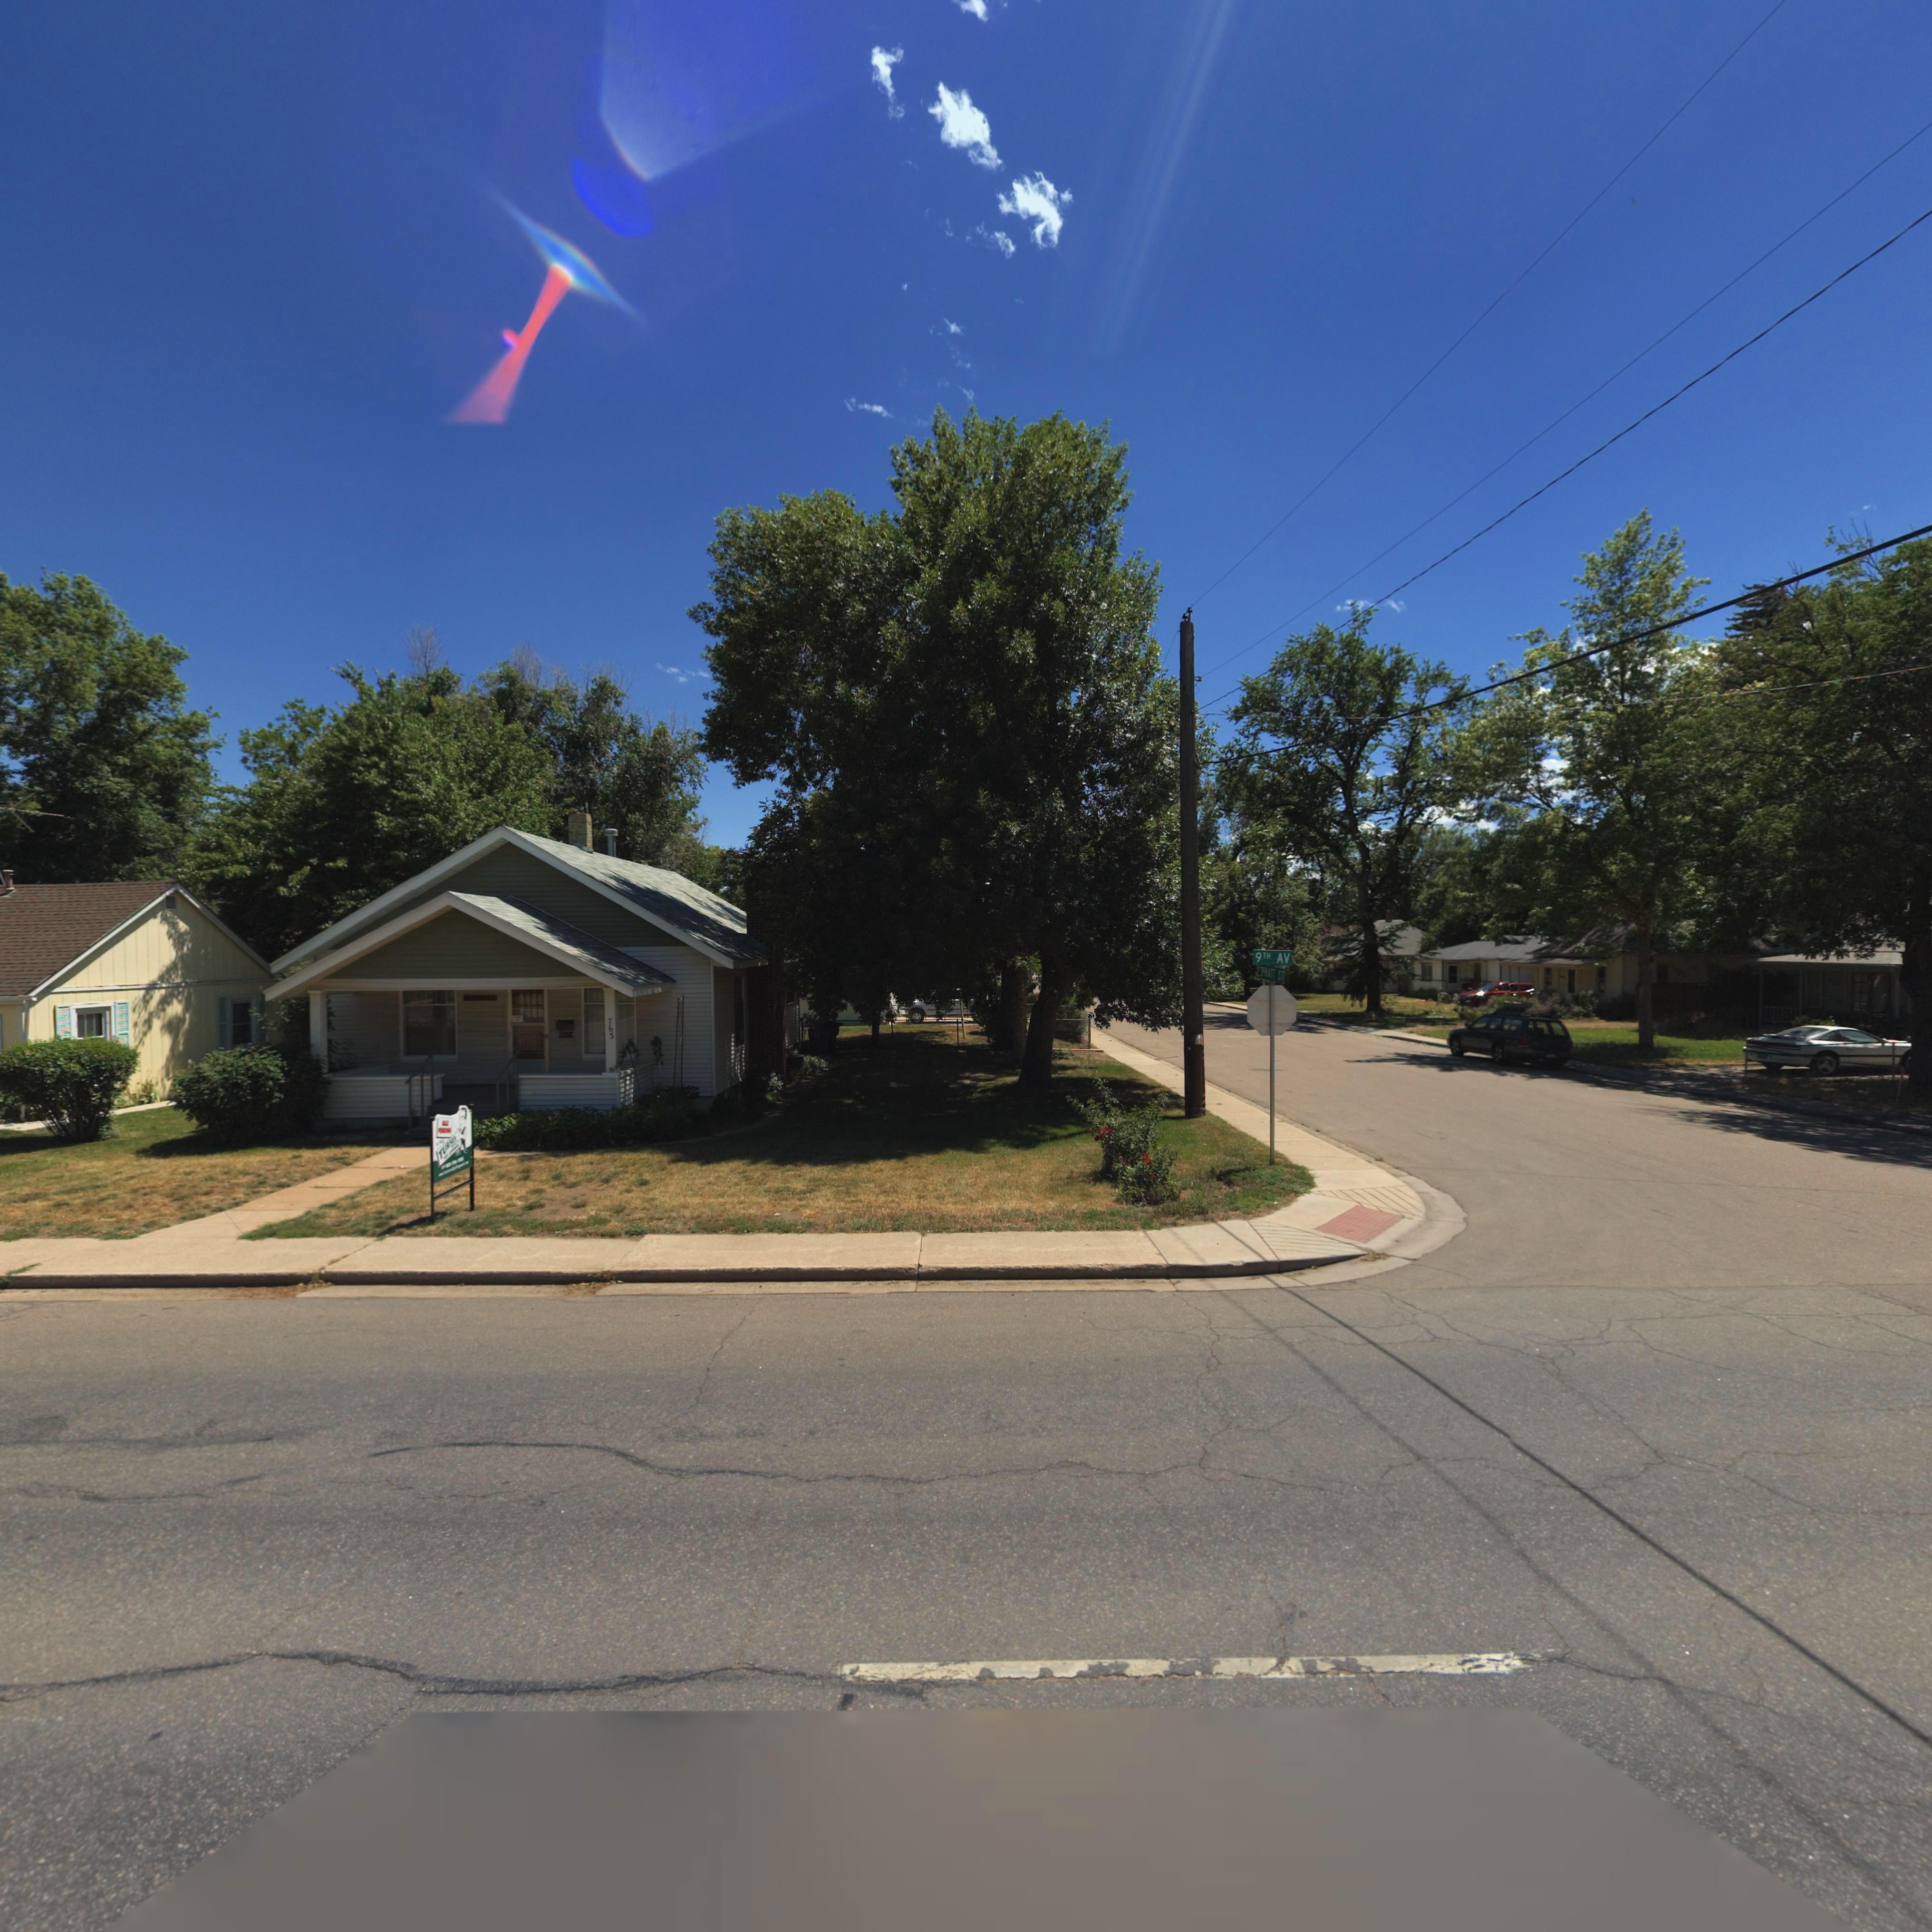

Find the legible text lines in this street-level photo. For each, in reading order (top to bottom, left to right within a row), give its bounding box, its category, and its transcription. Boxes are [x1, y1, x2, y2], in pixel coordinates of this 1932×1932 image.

[1255, 951, 1290, 964] StreetName: 9TH AV
[1260, 966, 1284, 981] StreetName: PRATT ST
[608, 1016, 614, 1040] StreetNumber: 763